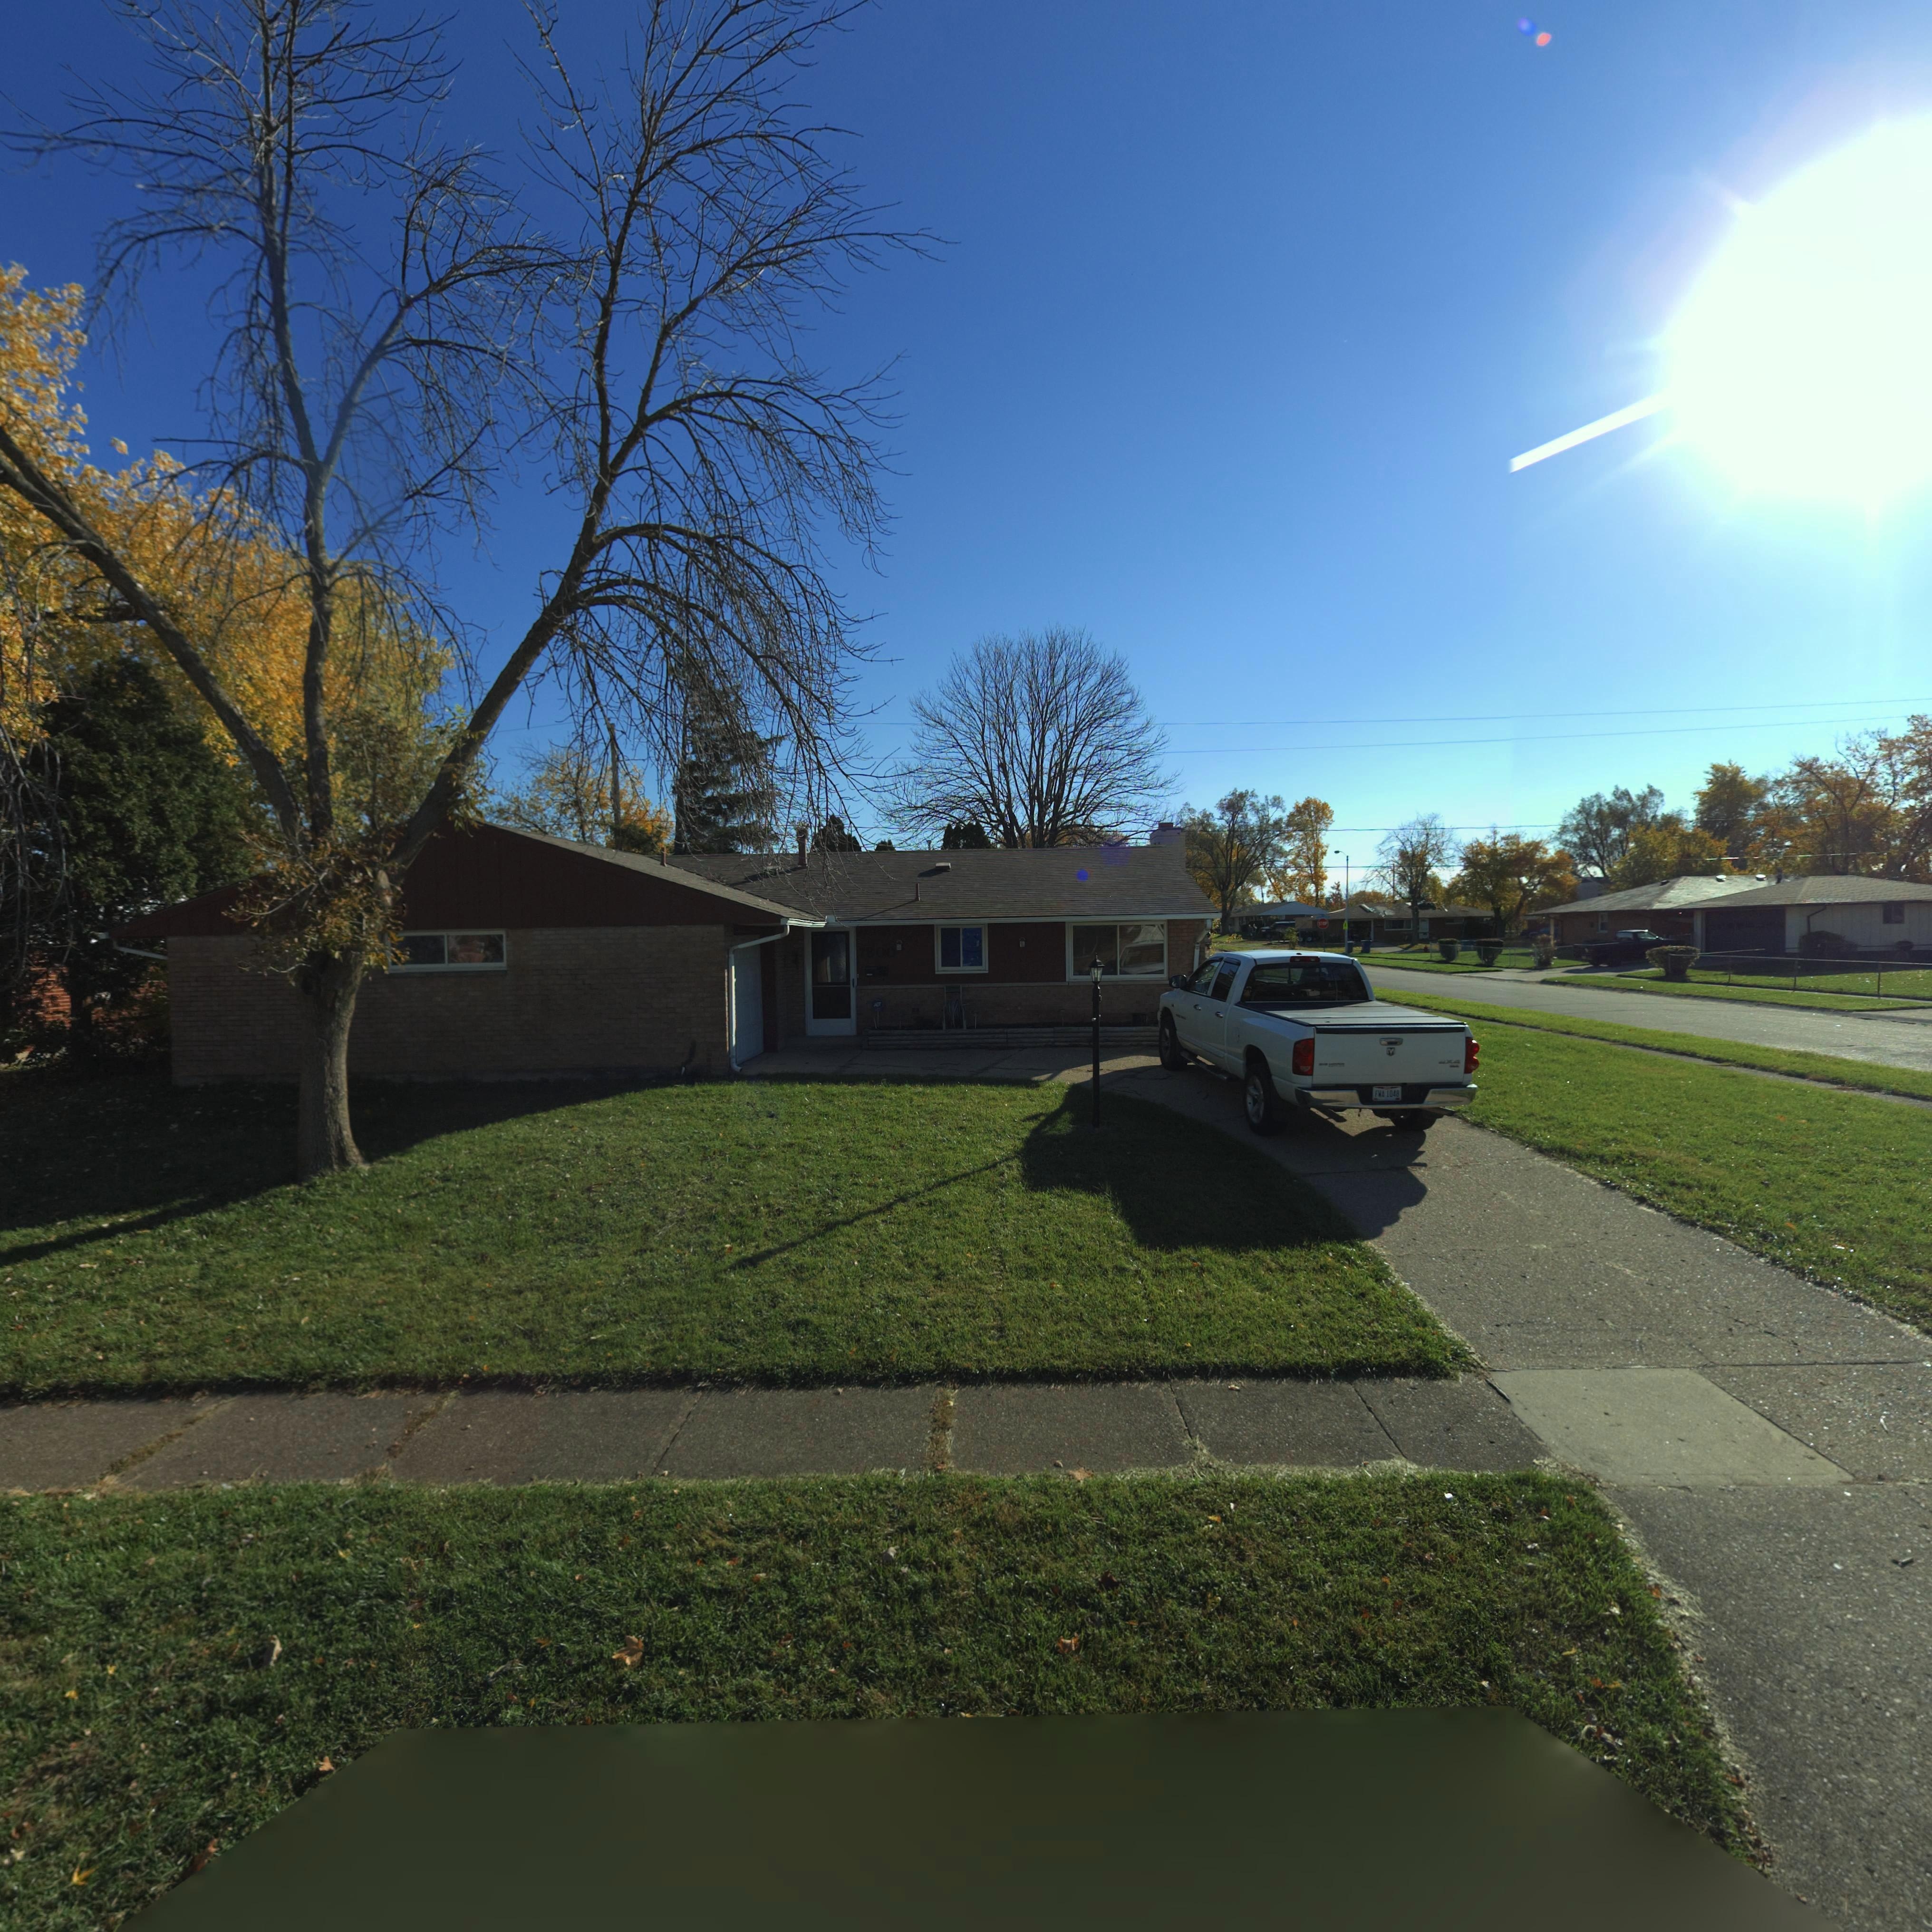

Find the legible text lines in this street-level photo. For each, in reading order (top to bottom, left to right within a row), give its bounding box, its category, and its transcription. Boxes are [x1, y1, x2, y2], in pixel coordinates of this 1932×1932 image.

[858, 947, 897, 958] StreetNumber: 7800